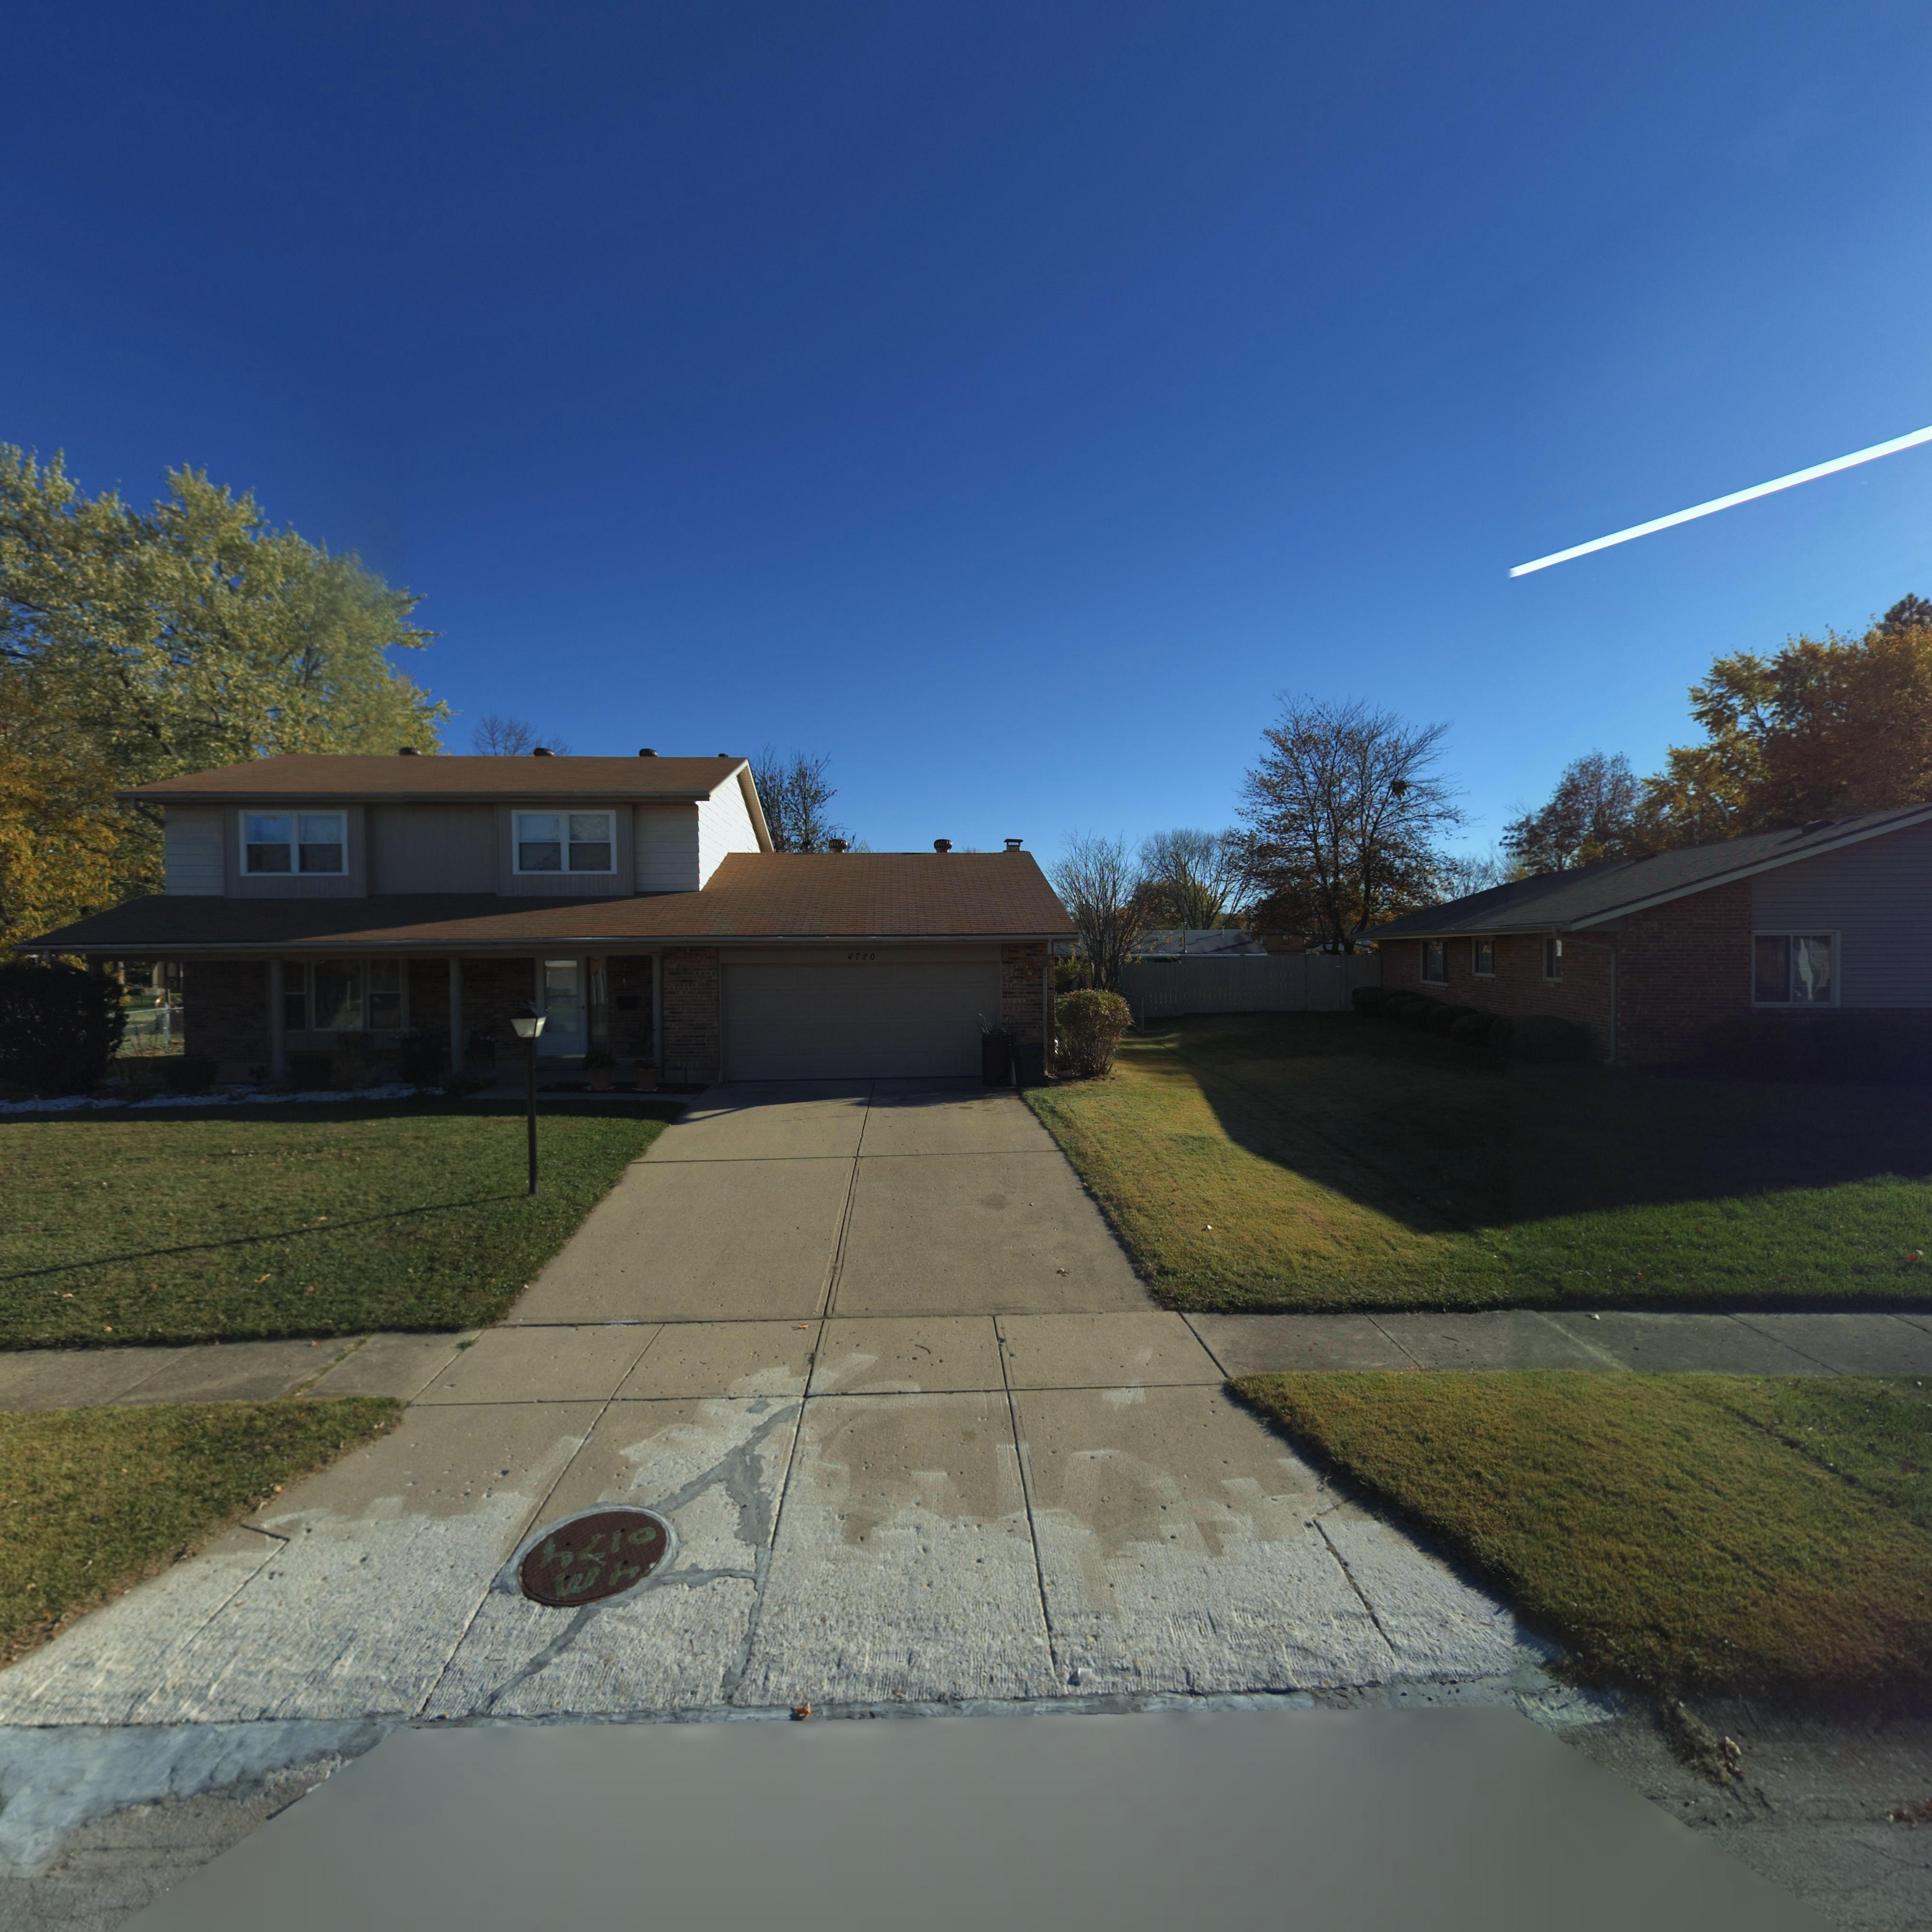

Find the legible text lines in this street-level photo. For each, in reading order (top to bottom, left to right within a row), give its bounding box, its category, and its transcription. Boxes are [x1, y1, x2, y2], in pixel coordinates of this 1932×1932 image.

[846, 951, 876, 962] StreetNumber: 4720